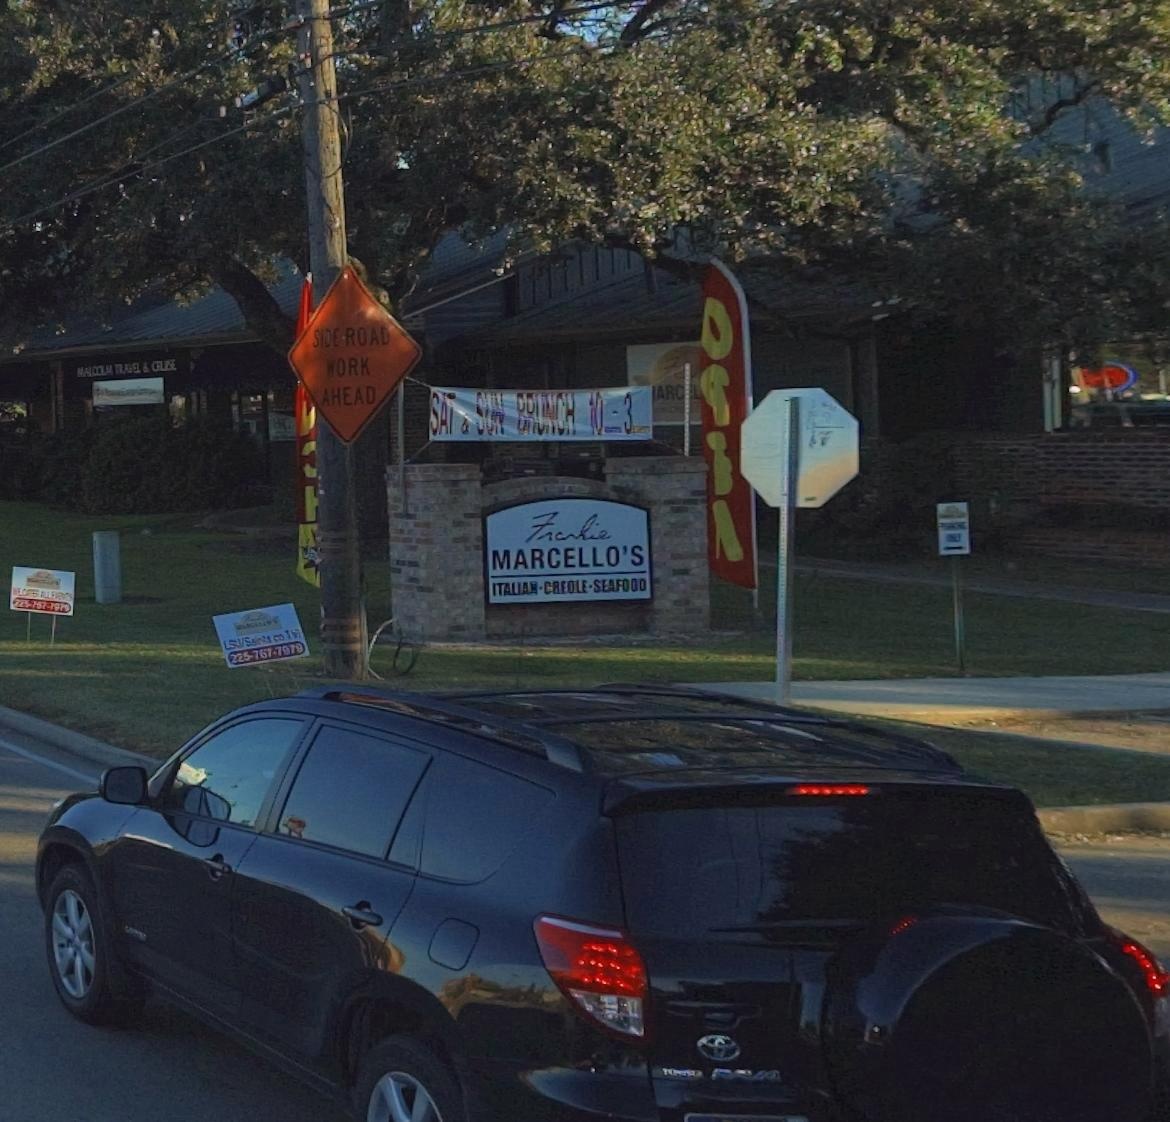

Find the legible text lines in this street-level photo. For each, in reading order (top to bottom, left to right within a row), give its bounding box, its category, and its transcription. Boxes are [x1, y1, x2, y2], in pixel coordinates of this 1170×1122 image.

[311, 325, 392, 349] None: SIDEROAD
[73, 356, 180, 380] BusinessName: MALCOLM TRAVEL & CRUISE
[326, 355, 372, 378] None: WORK
[320, 384, 377, 408] None: AHEAD
[655, 382, 676, 402] None: AR
[430, 391, 634, 437] None: SAT & SUN BRUNCH 10-3
[523, 509, 613, 544] BusinessName: Frankie
[491, 544, 644, 571] BusinessName: MARCELLO'S
[491, 577, 647, 597] BusinessName: ITALIAN - CREOLE - SEAFOOD
[221, 631, 276, 654] None: LS*/Saints
[227, 640, 306, 666] None: 225-767-7979